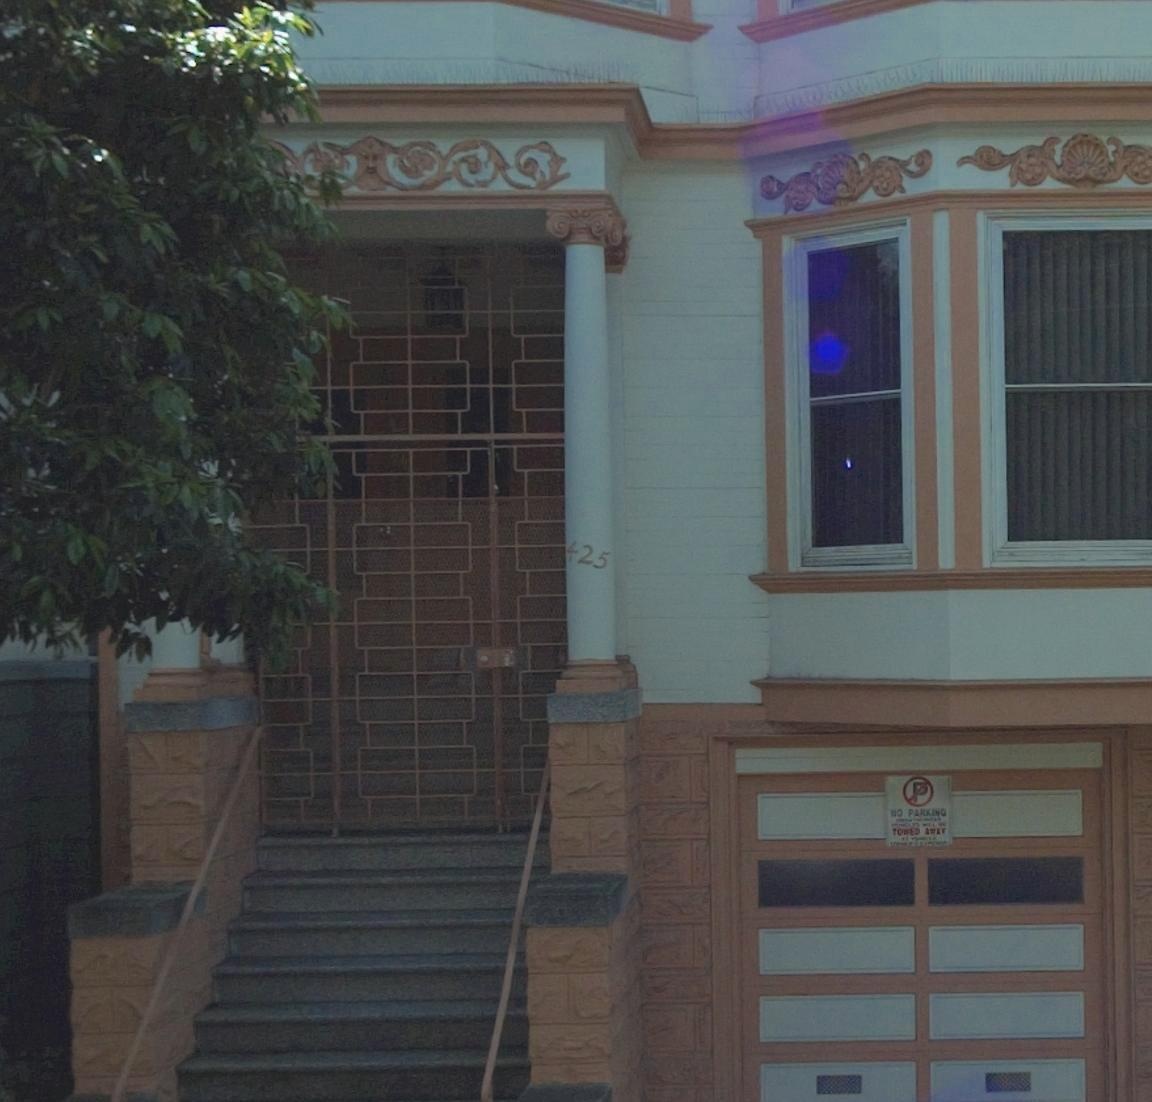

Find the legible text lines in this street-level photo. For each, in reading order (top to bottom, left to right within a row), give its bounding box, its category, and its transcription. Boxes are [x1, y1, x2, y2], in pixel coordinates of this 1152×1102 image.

[563, 538, 613, 573] StreetNumber: 425
[888, 806, 949, 820] None: NO PARKING
[889, 825, 923, 839] None: TO***